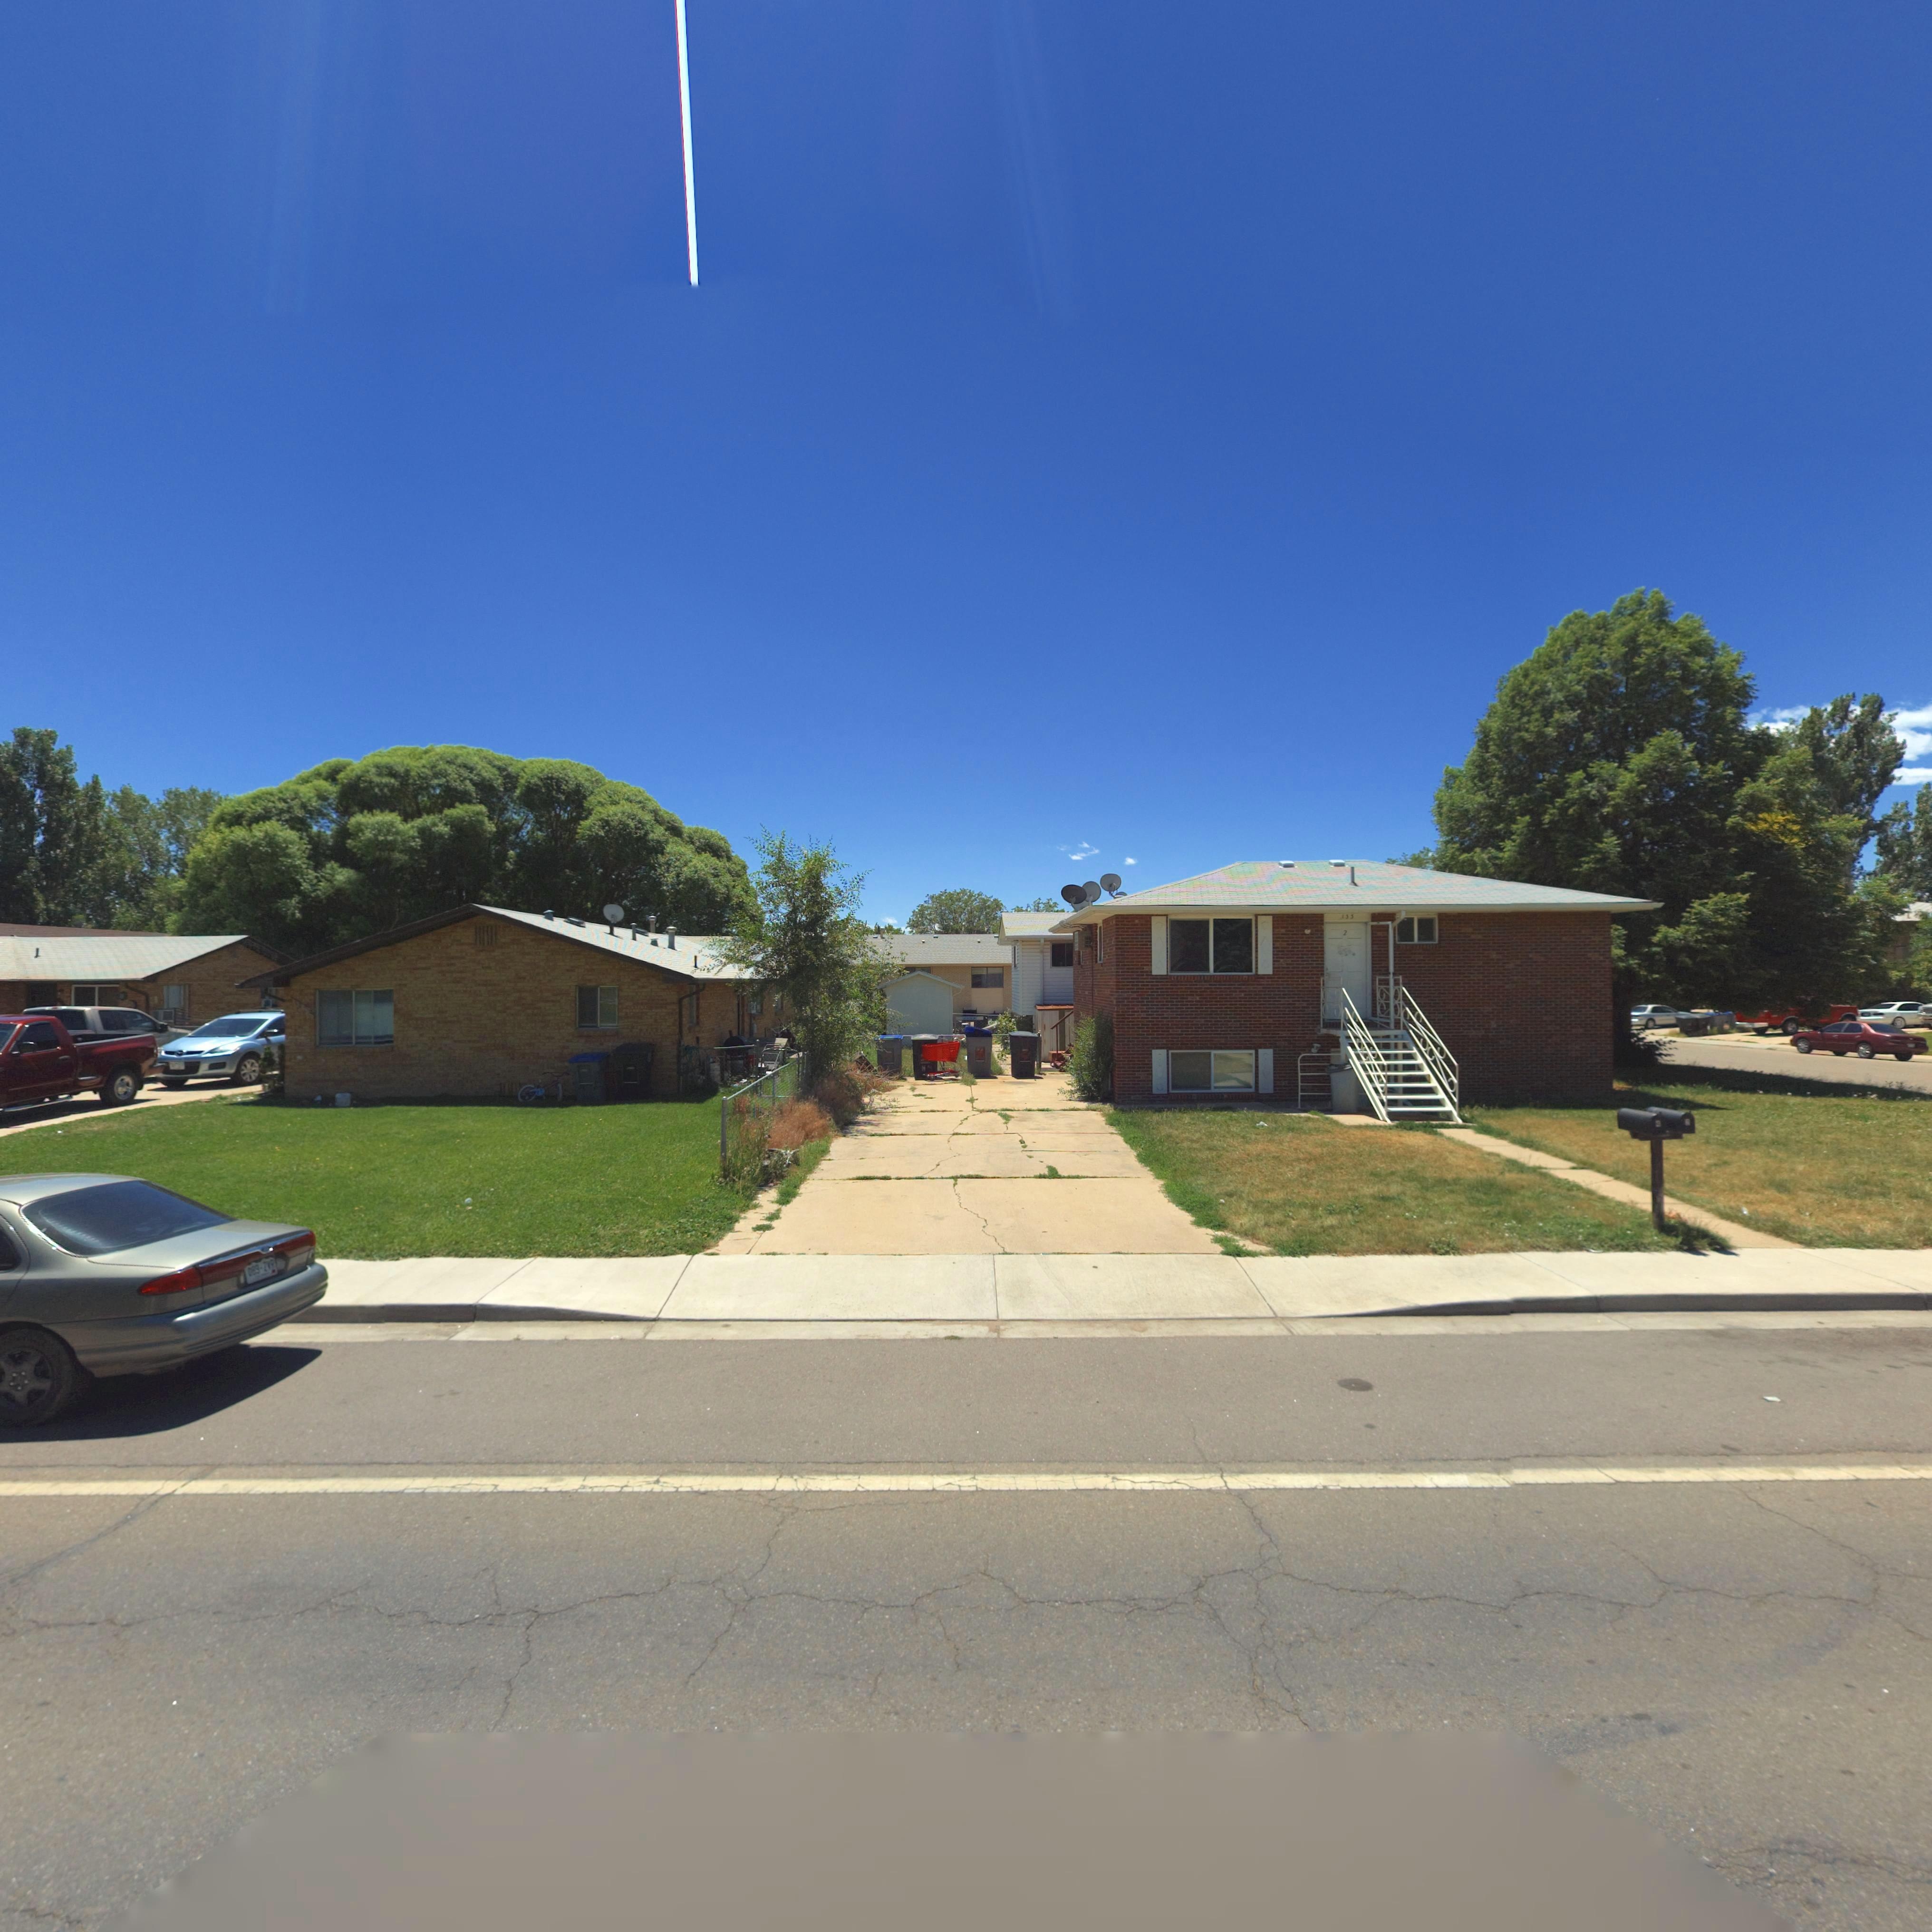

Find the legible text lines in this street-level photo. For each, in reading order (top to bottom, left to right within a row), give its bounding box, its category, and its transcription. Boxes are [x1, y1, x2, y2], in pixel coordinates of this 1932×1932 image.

[1341, 913, 1354, 919] StreetNumber: 133
[1343, 929, 1347, 936] StreetNumber: 2
[1655, 1121, 1661, 1127] StreetNumber: 4
[1685, 1119, 1690, 1126] StreetNumber: 2